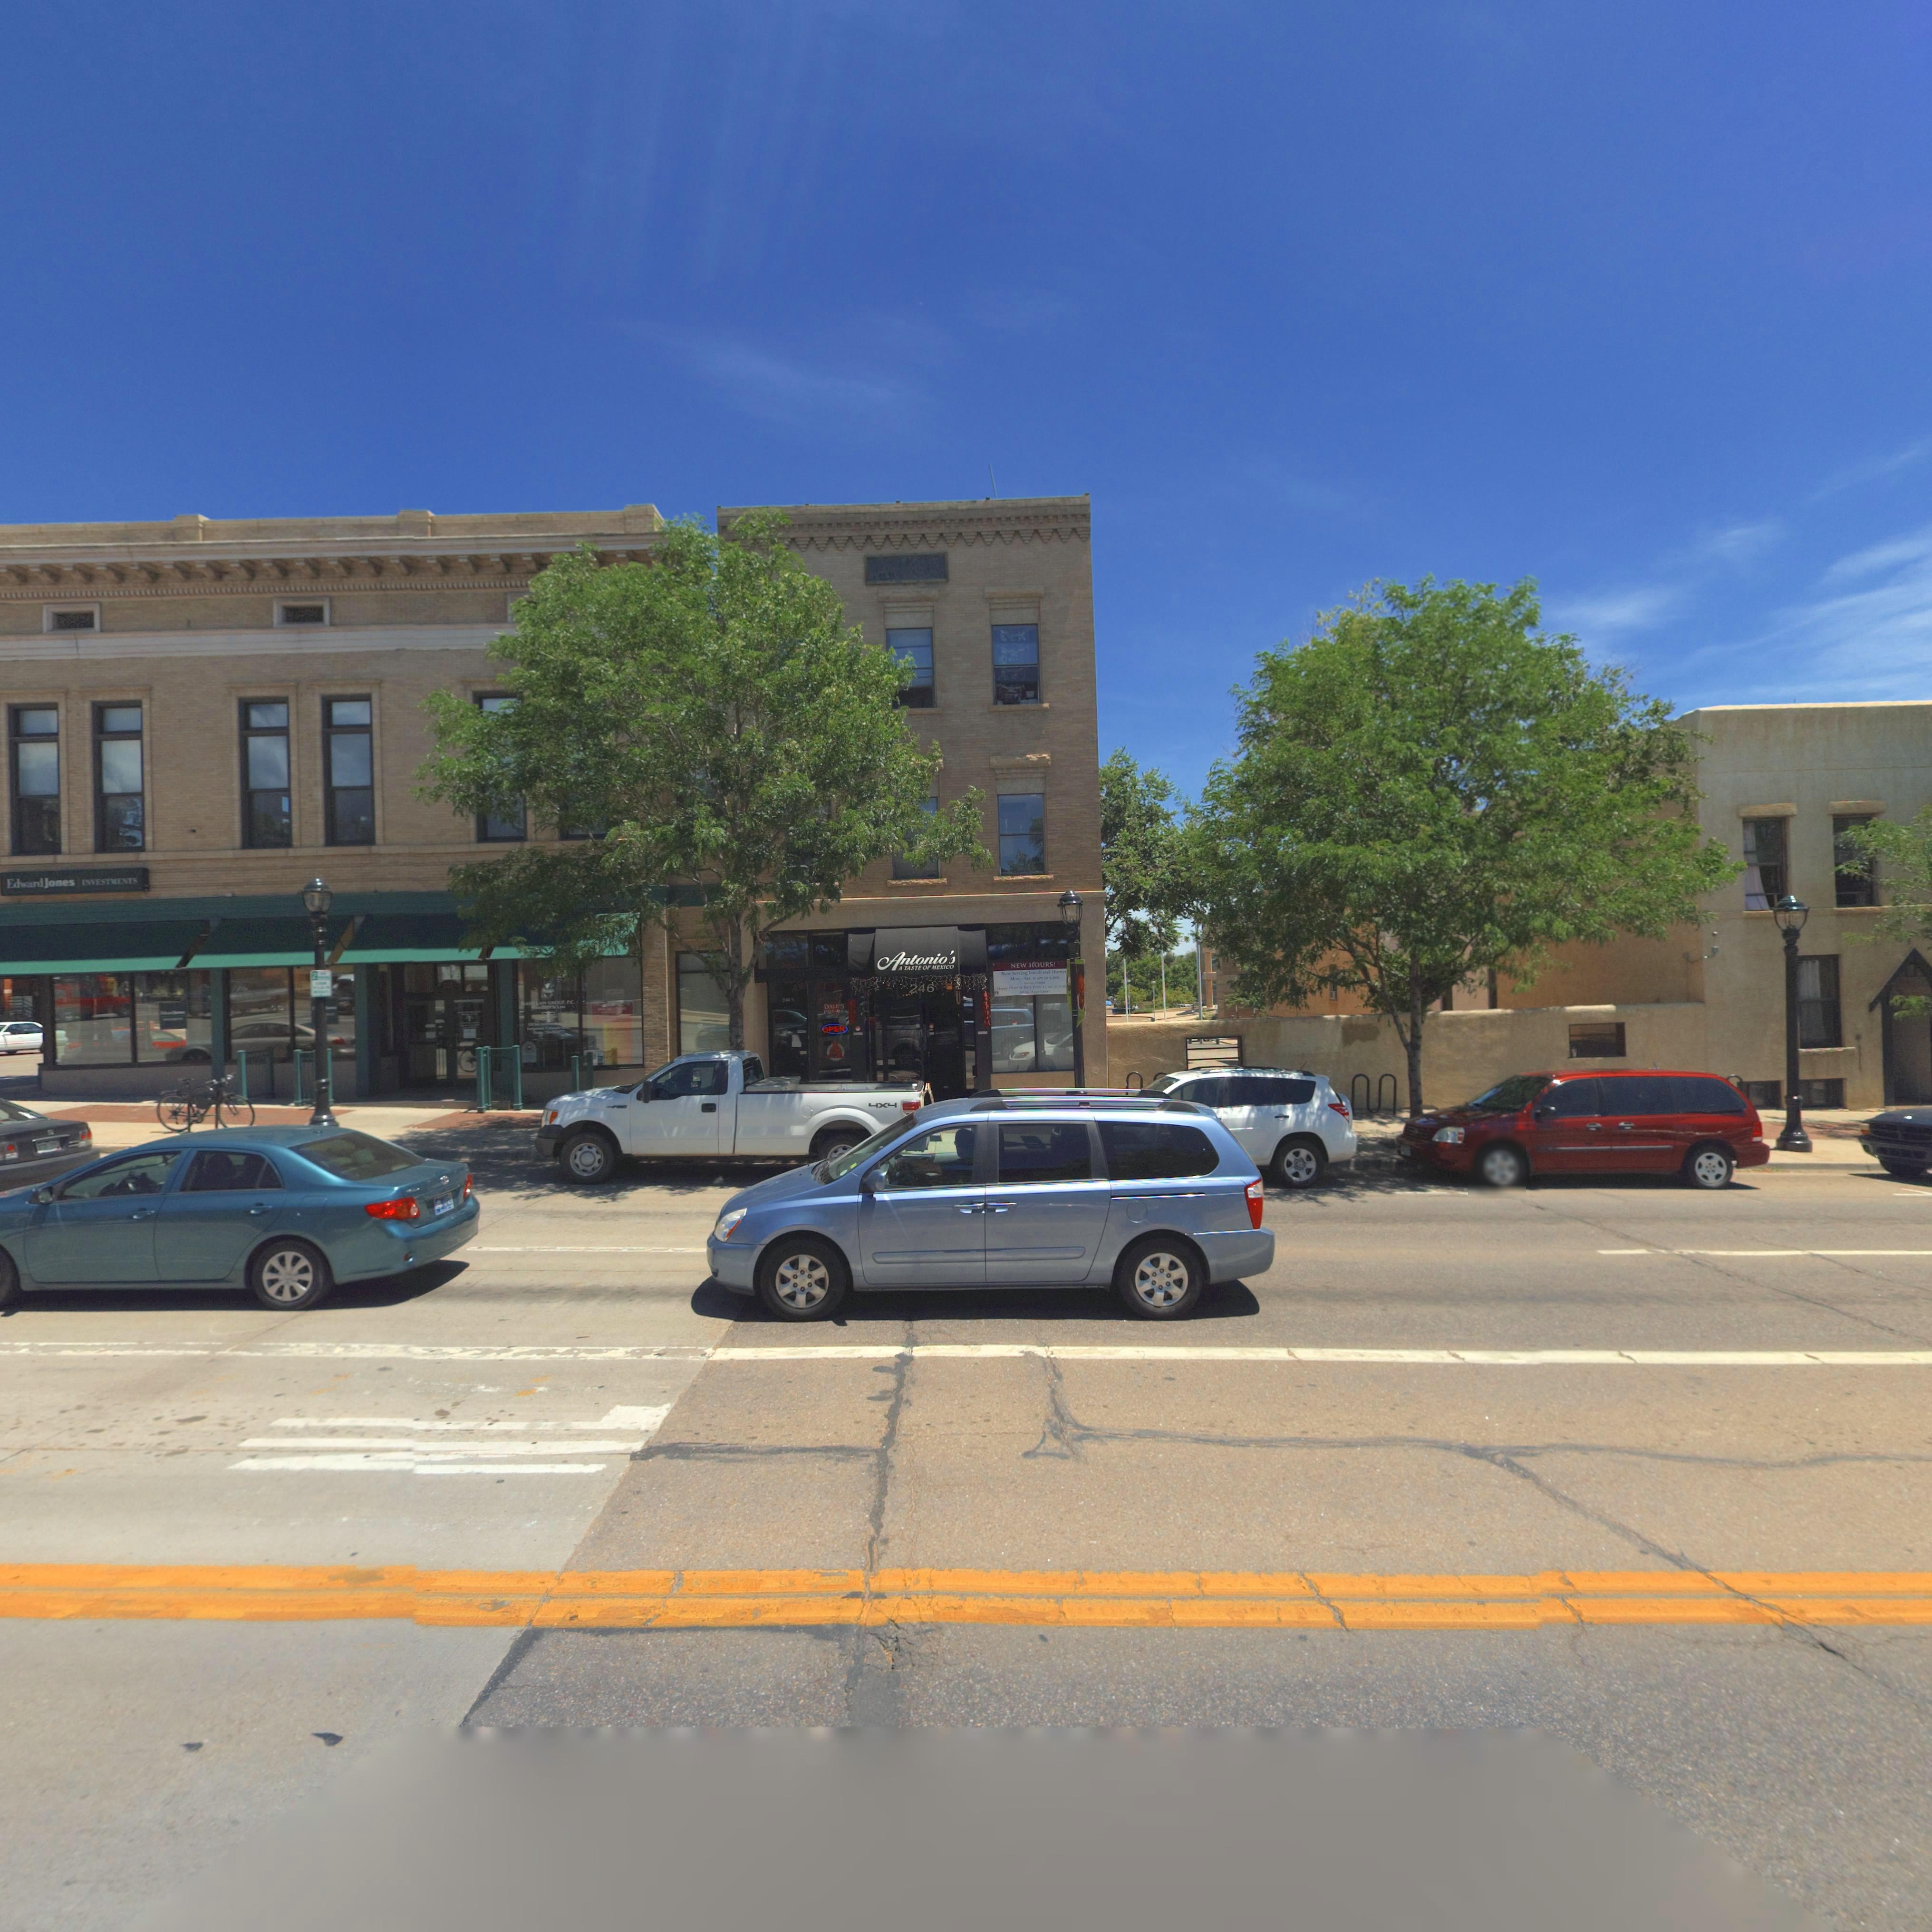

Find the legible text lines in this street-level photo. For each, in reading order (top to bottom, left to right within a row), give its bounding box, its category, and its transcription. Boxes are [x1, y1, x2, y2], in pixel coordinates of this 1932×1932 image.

[6, 876, 76, 889] BusinessName: Edward Jones
[81, 877, 137, 885] BusinessName: INVESTMENTS
[876, 949, 956, 970] BusinessName: Antonio's
[909, 983, 935, 993] StreetNumber: 246
[521, 1000, 565, 1005] BusinessName: NASH LAW GROUP